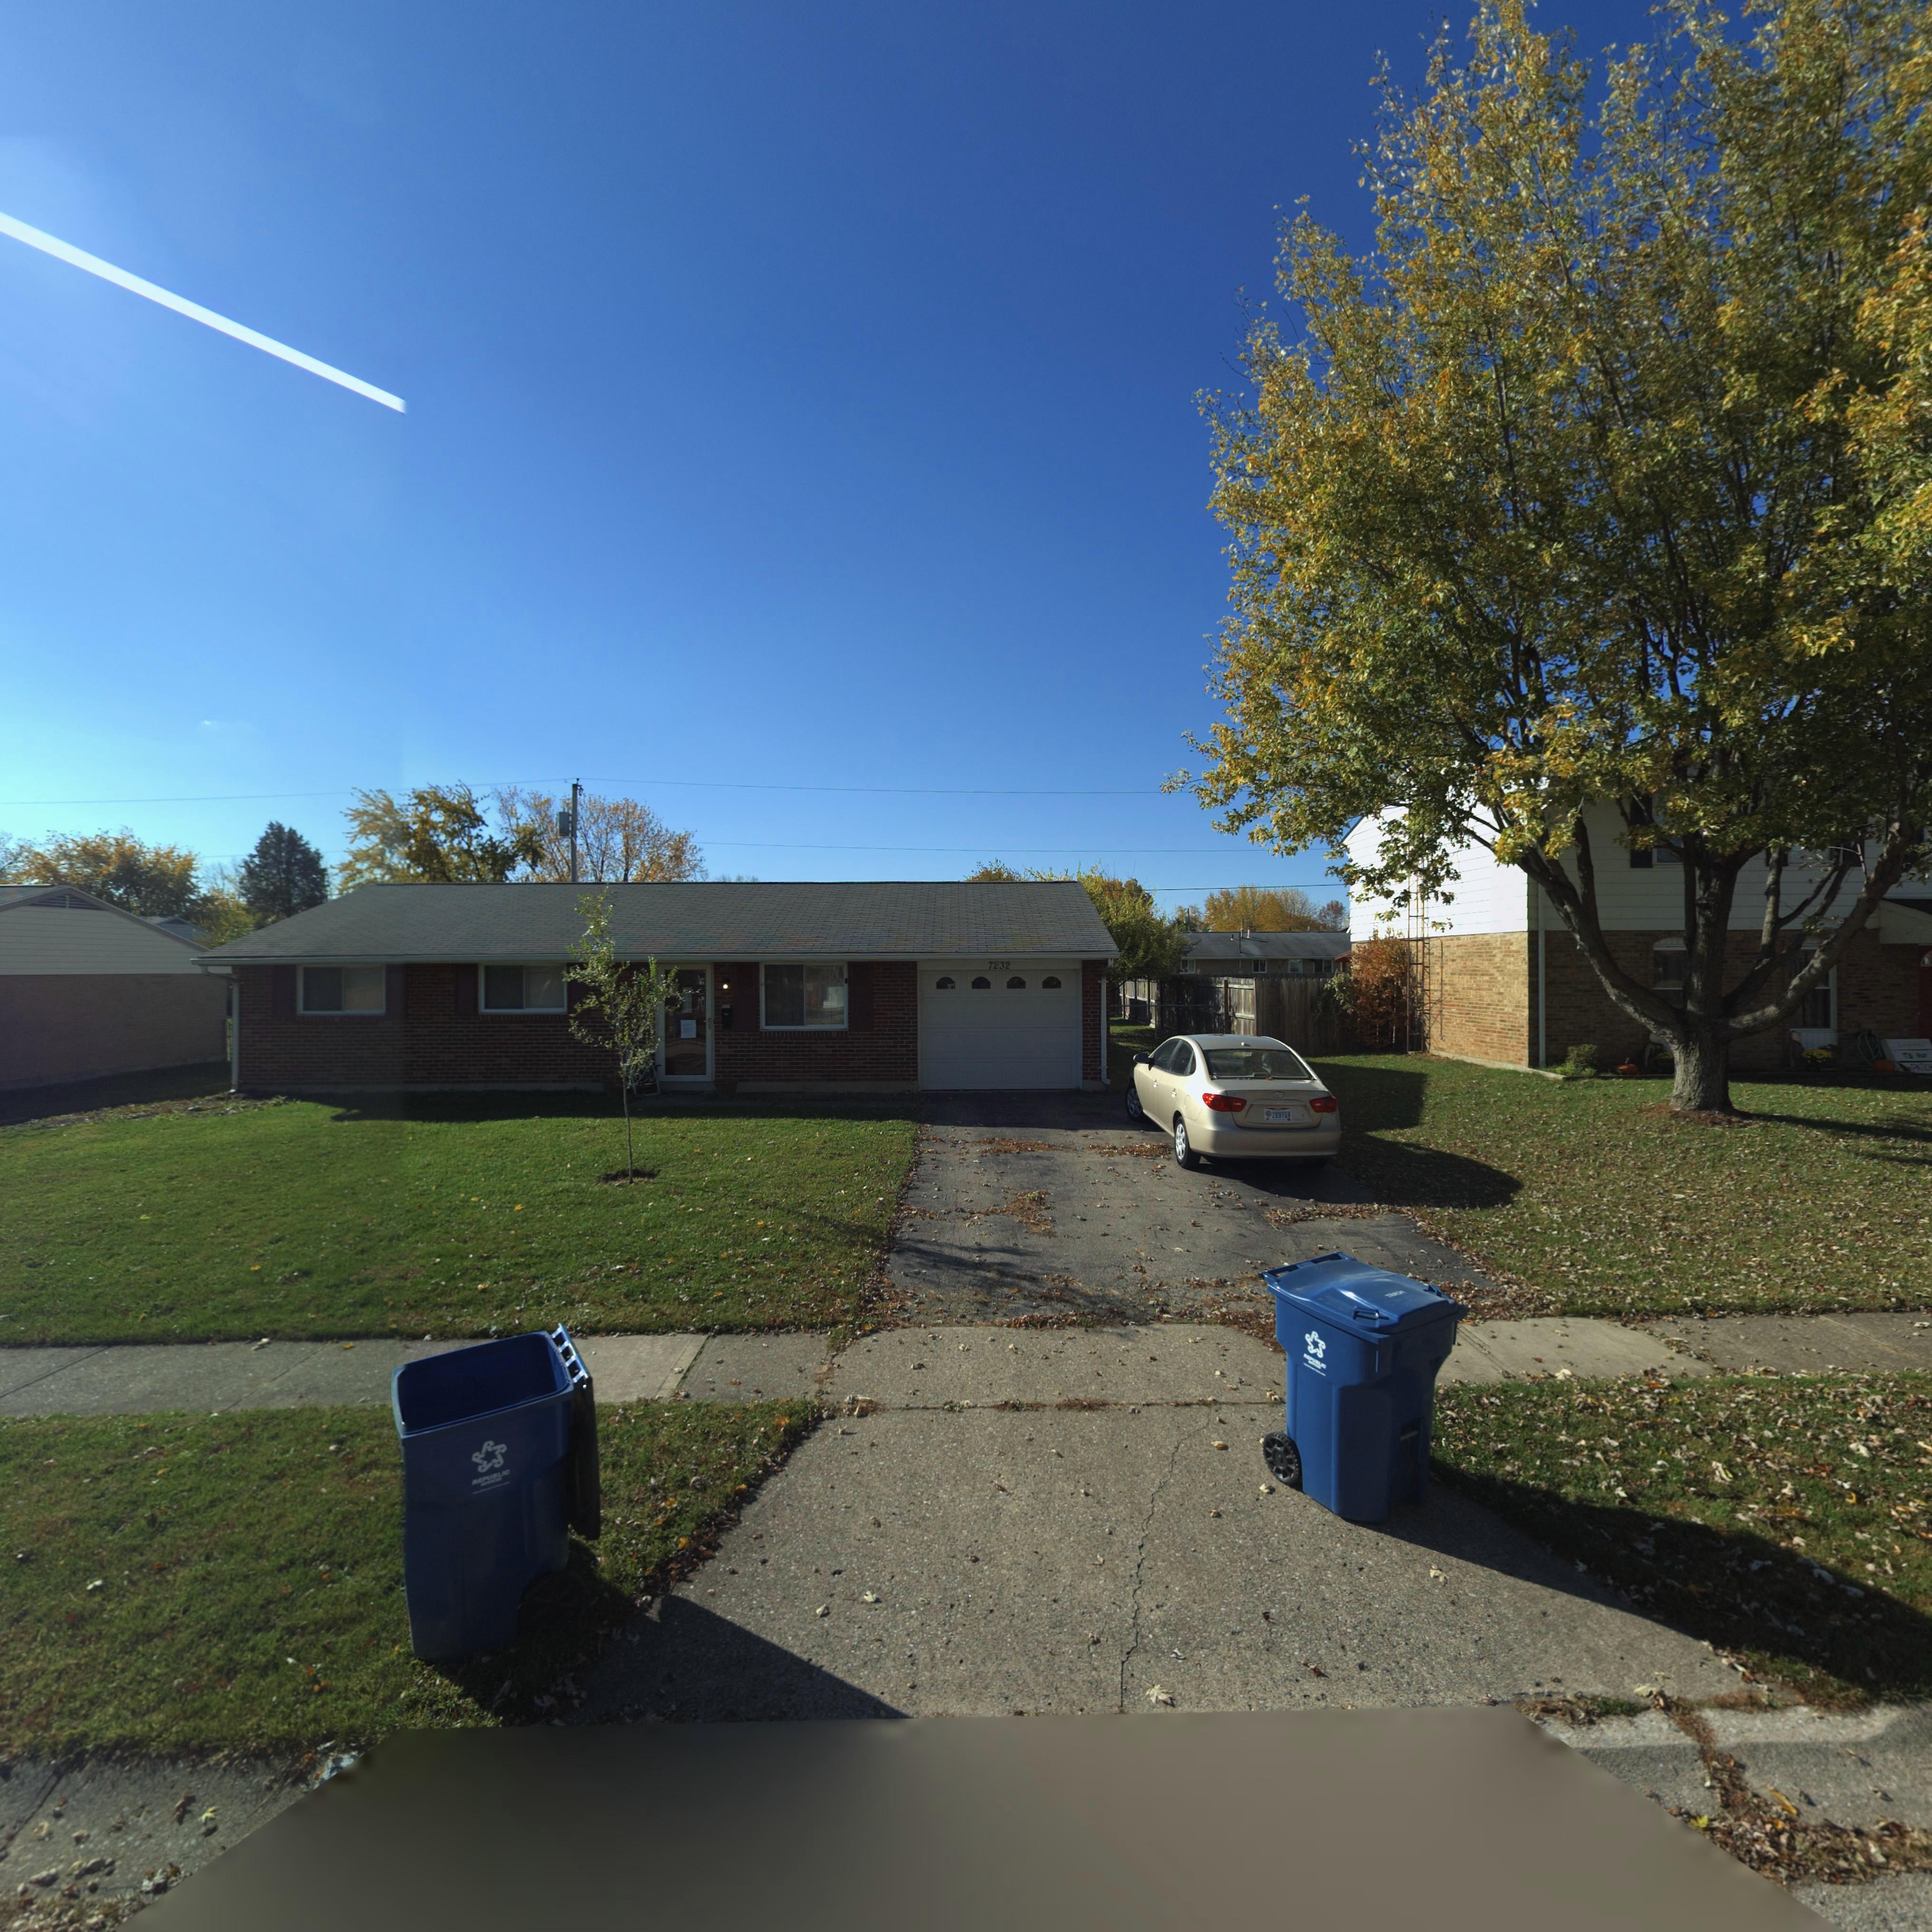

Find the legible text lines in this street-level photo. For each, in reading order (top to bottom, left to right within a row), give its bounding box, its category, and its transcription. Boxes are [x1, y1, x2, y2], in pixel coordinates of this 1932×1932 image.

[987, 960, 1011, 971] StreetNumber: 7*32